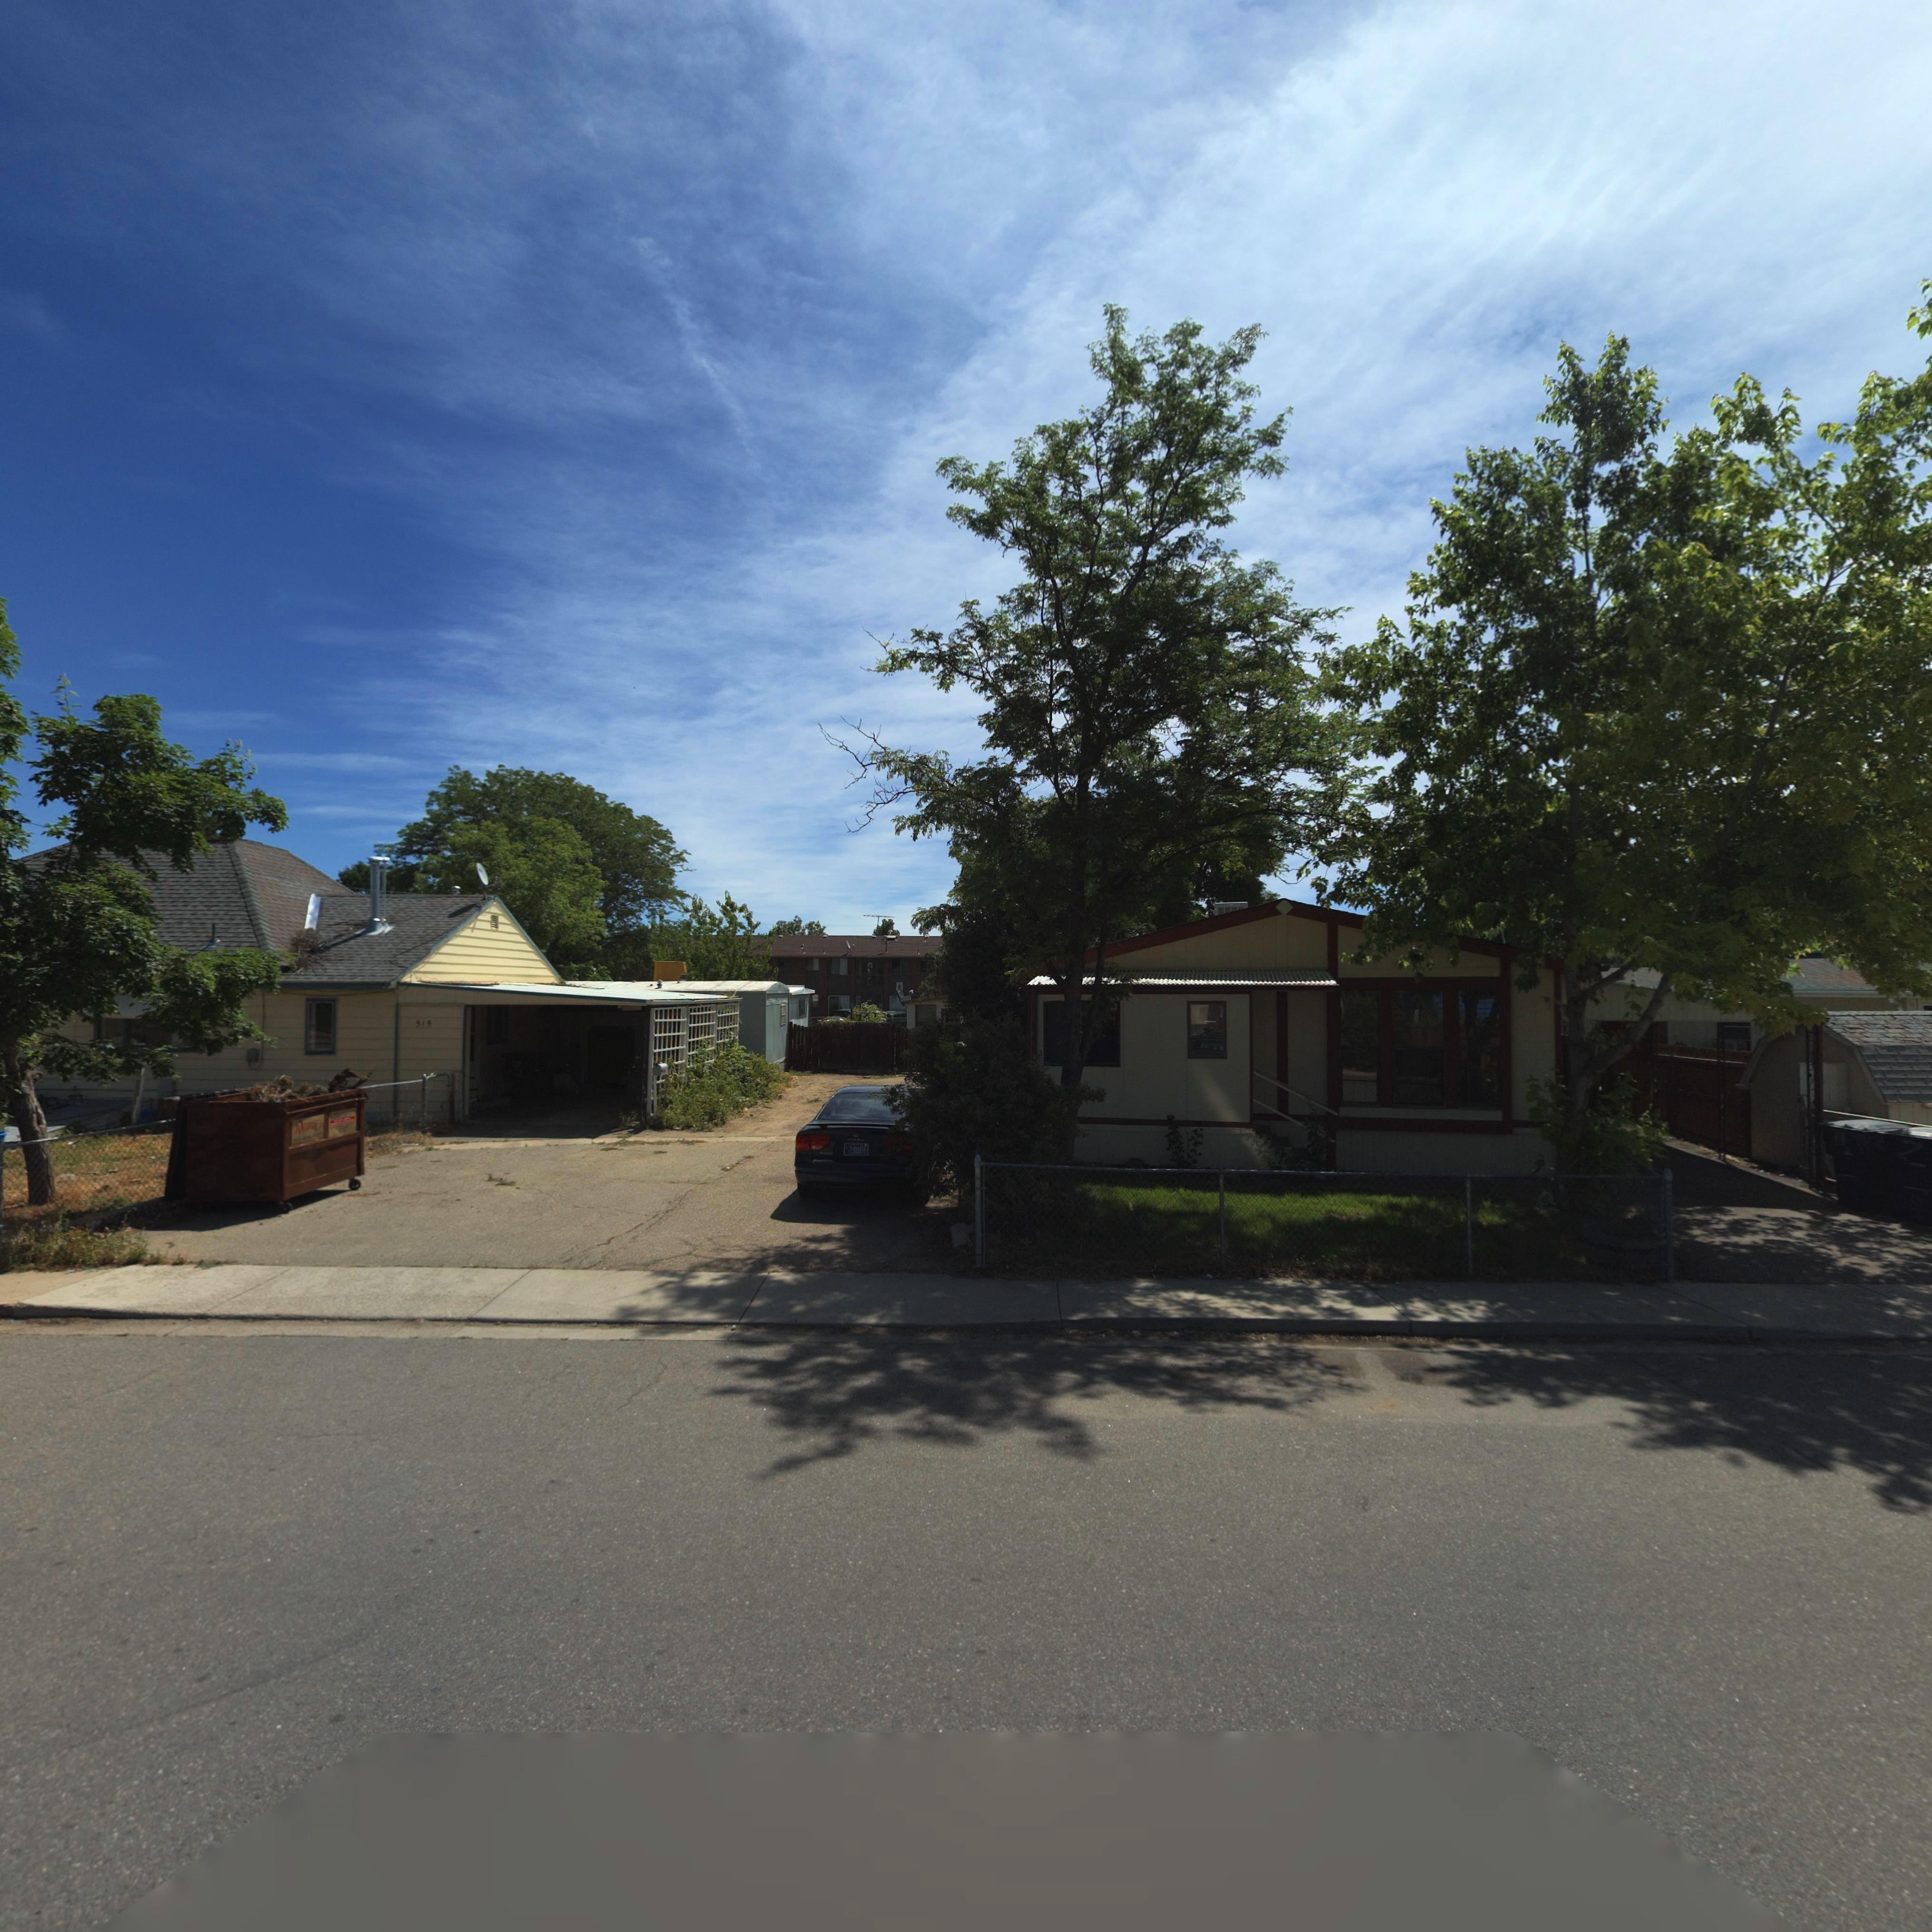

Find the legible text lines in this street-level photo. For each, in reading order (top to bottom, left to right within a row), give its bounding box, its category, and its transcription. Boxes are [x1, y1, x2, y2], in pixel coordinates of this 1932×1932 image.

[415, 1019, 432, 1027] StreetNumber: 515